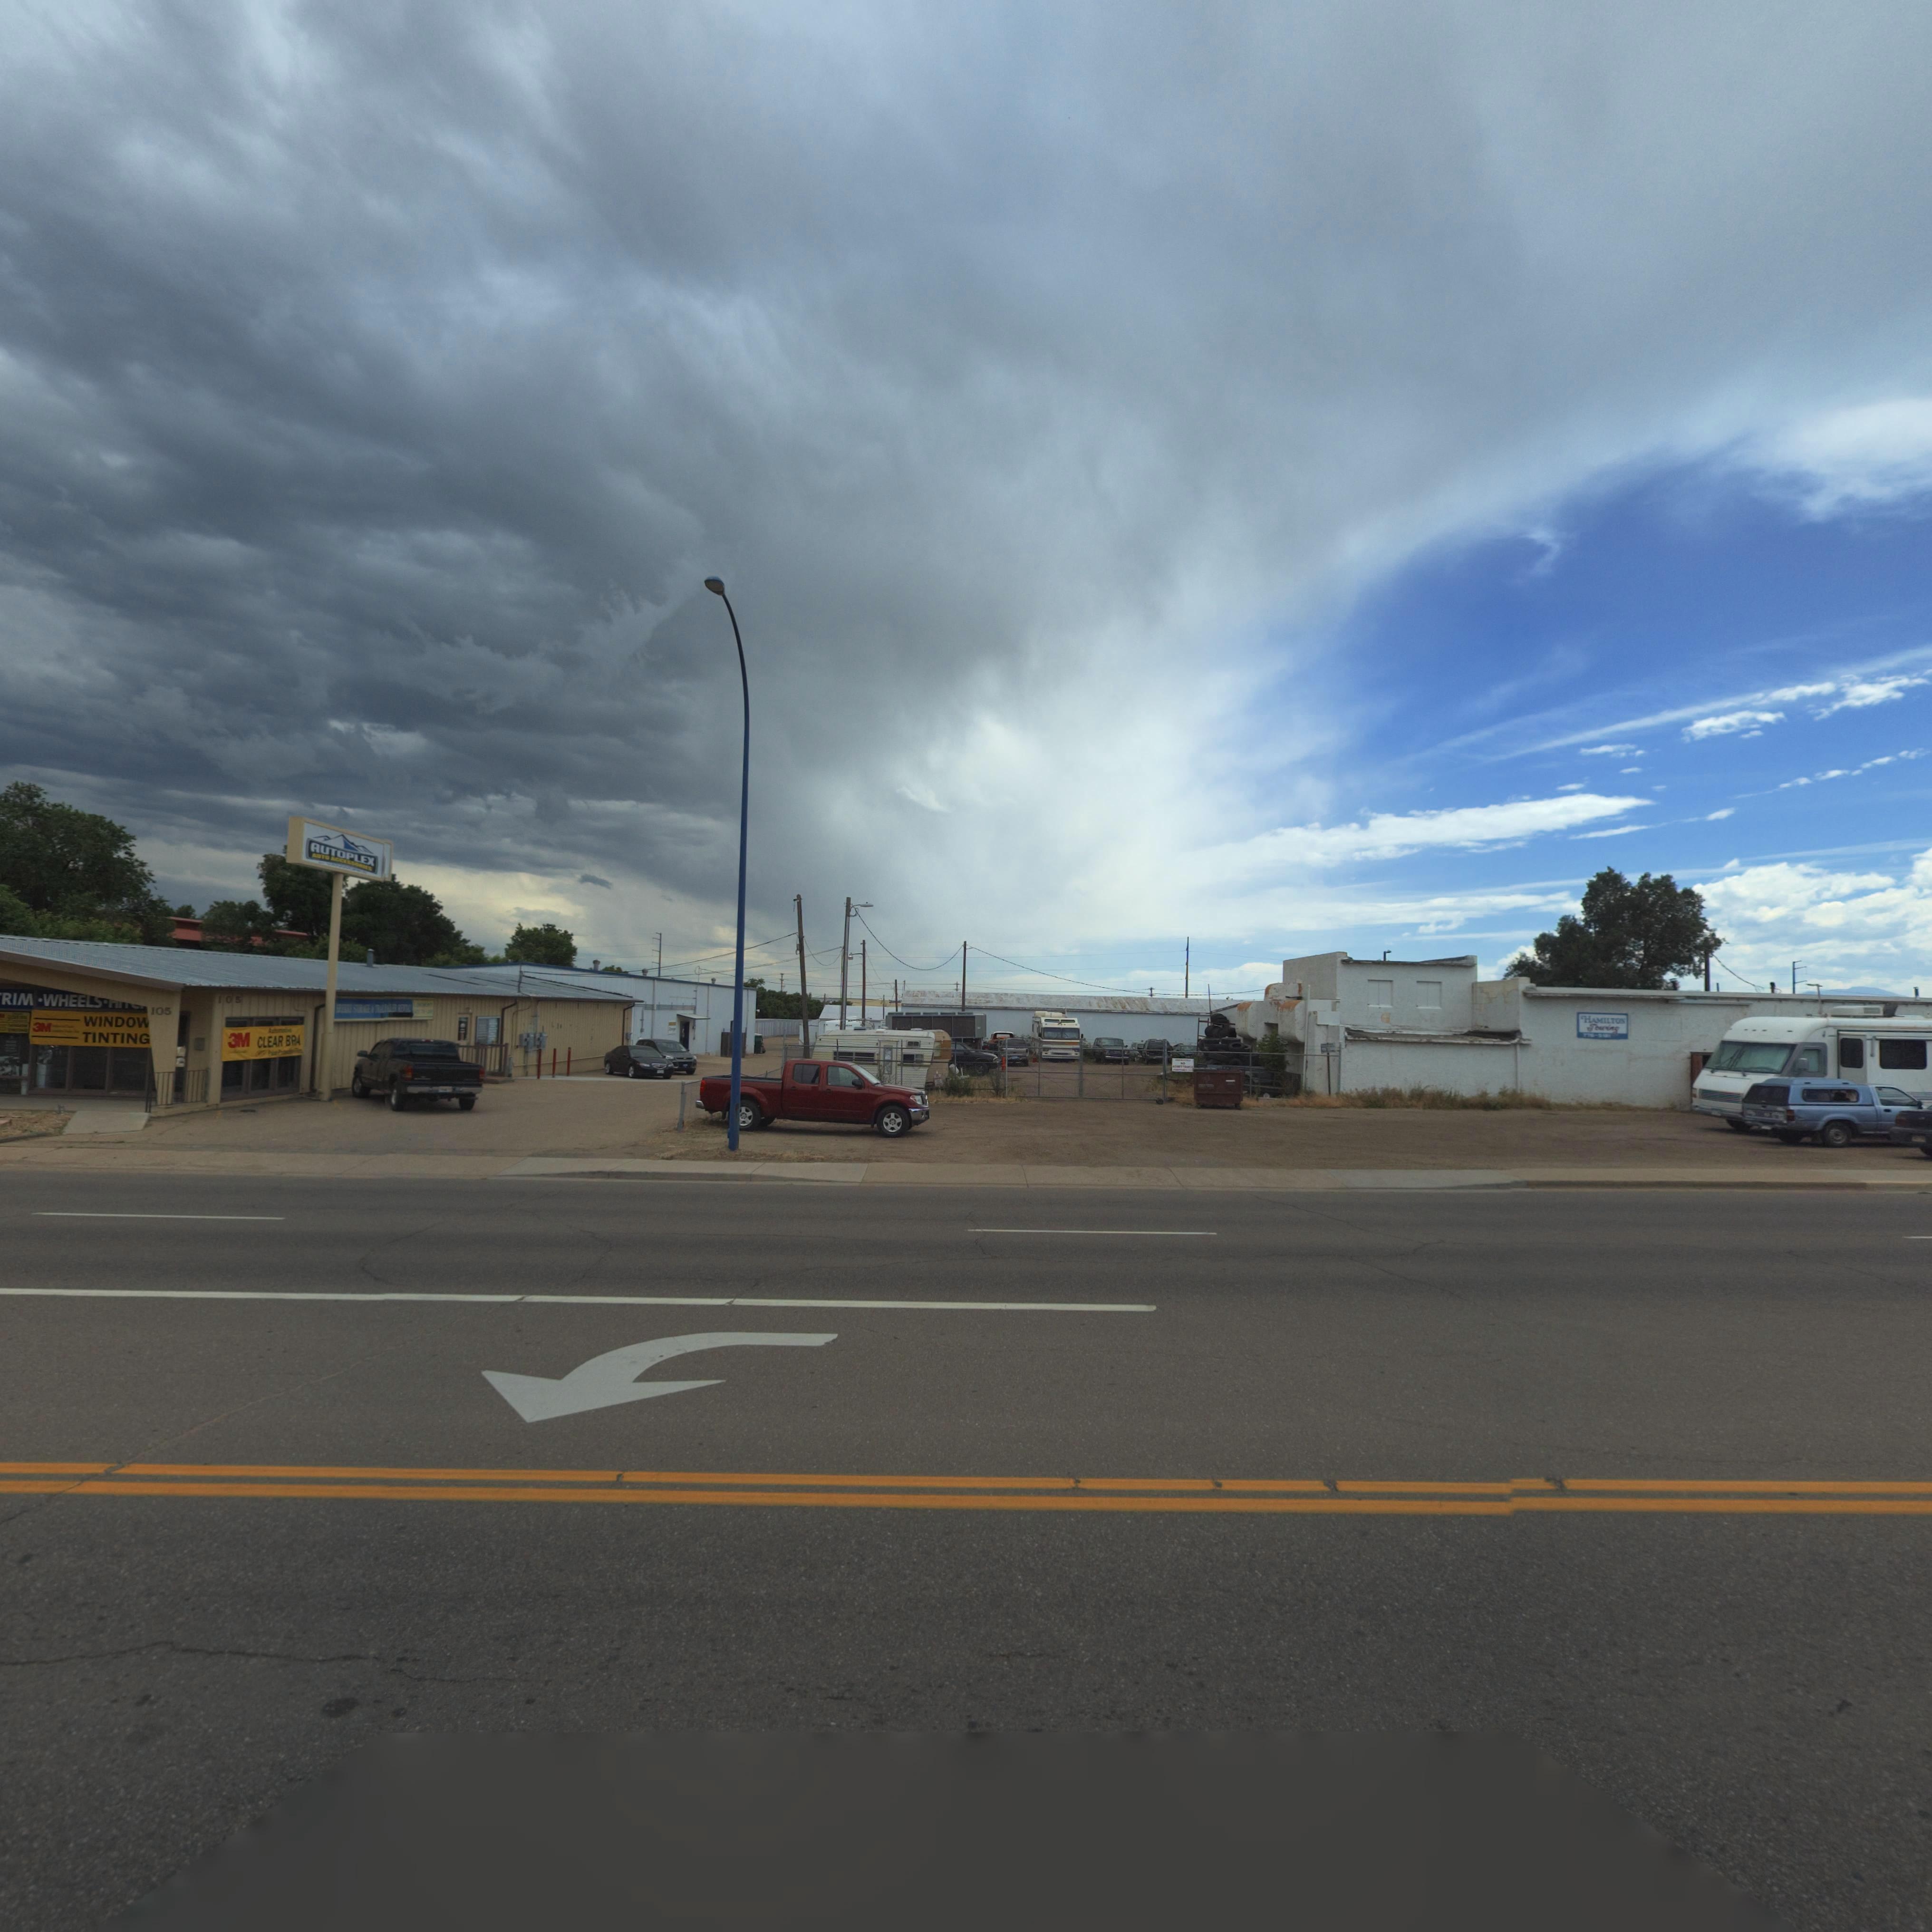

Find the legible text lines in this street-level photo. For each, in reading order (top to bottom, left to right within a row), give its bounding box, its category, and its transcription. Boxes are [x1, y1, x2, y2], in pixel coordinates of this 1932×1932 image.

[309, 841, 375, 867] BusinessName: AUTOPLEX
[311, 852, 372, 871] BusinessName: AUTO ACCESSORIES
[218, 995, 241, 1004] StreetNumber: 105
[150, 1006, 172, 1016] StreetNumber: 105
[335, 1003, 411, 1013] BusinessName: BREKKE STORAGE & TRAILER RENTAL
[1580, 1015, 1625, 1024] BusinessName: HAMILTON
[1586, 1023, 1620, 1036] BusinessName: Towing